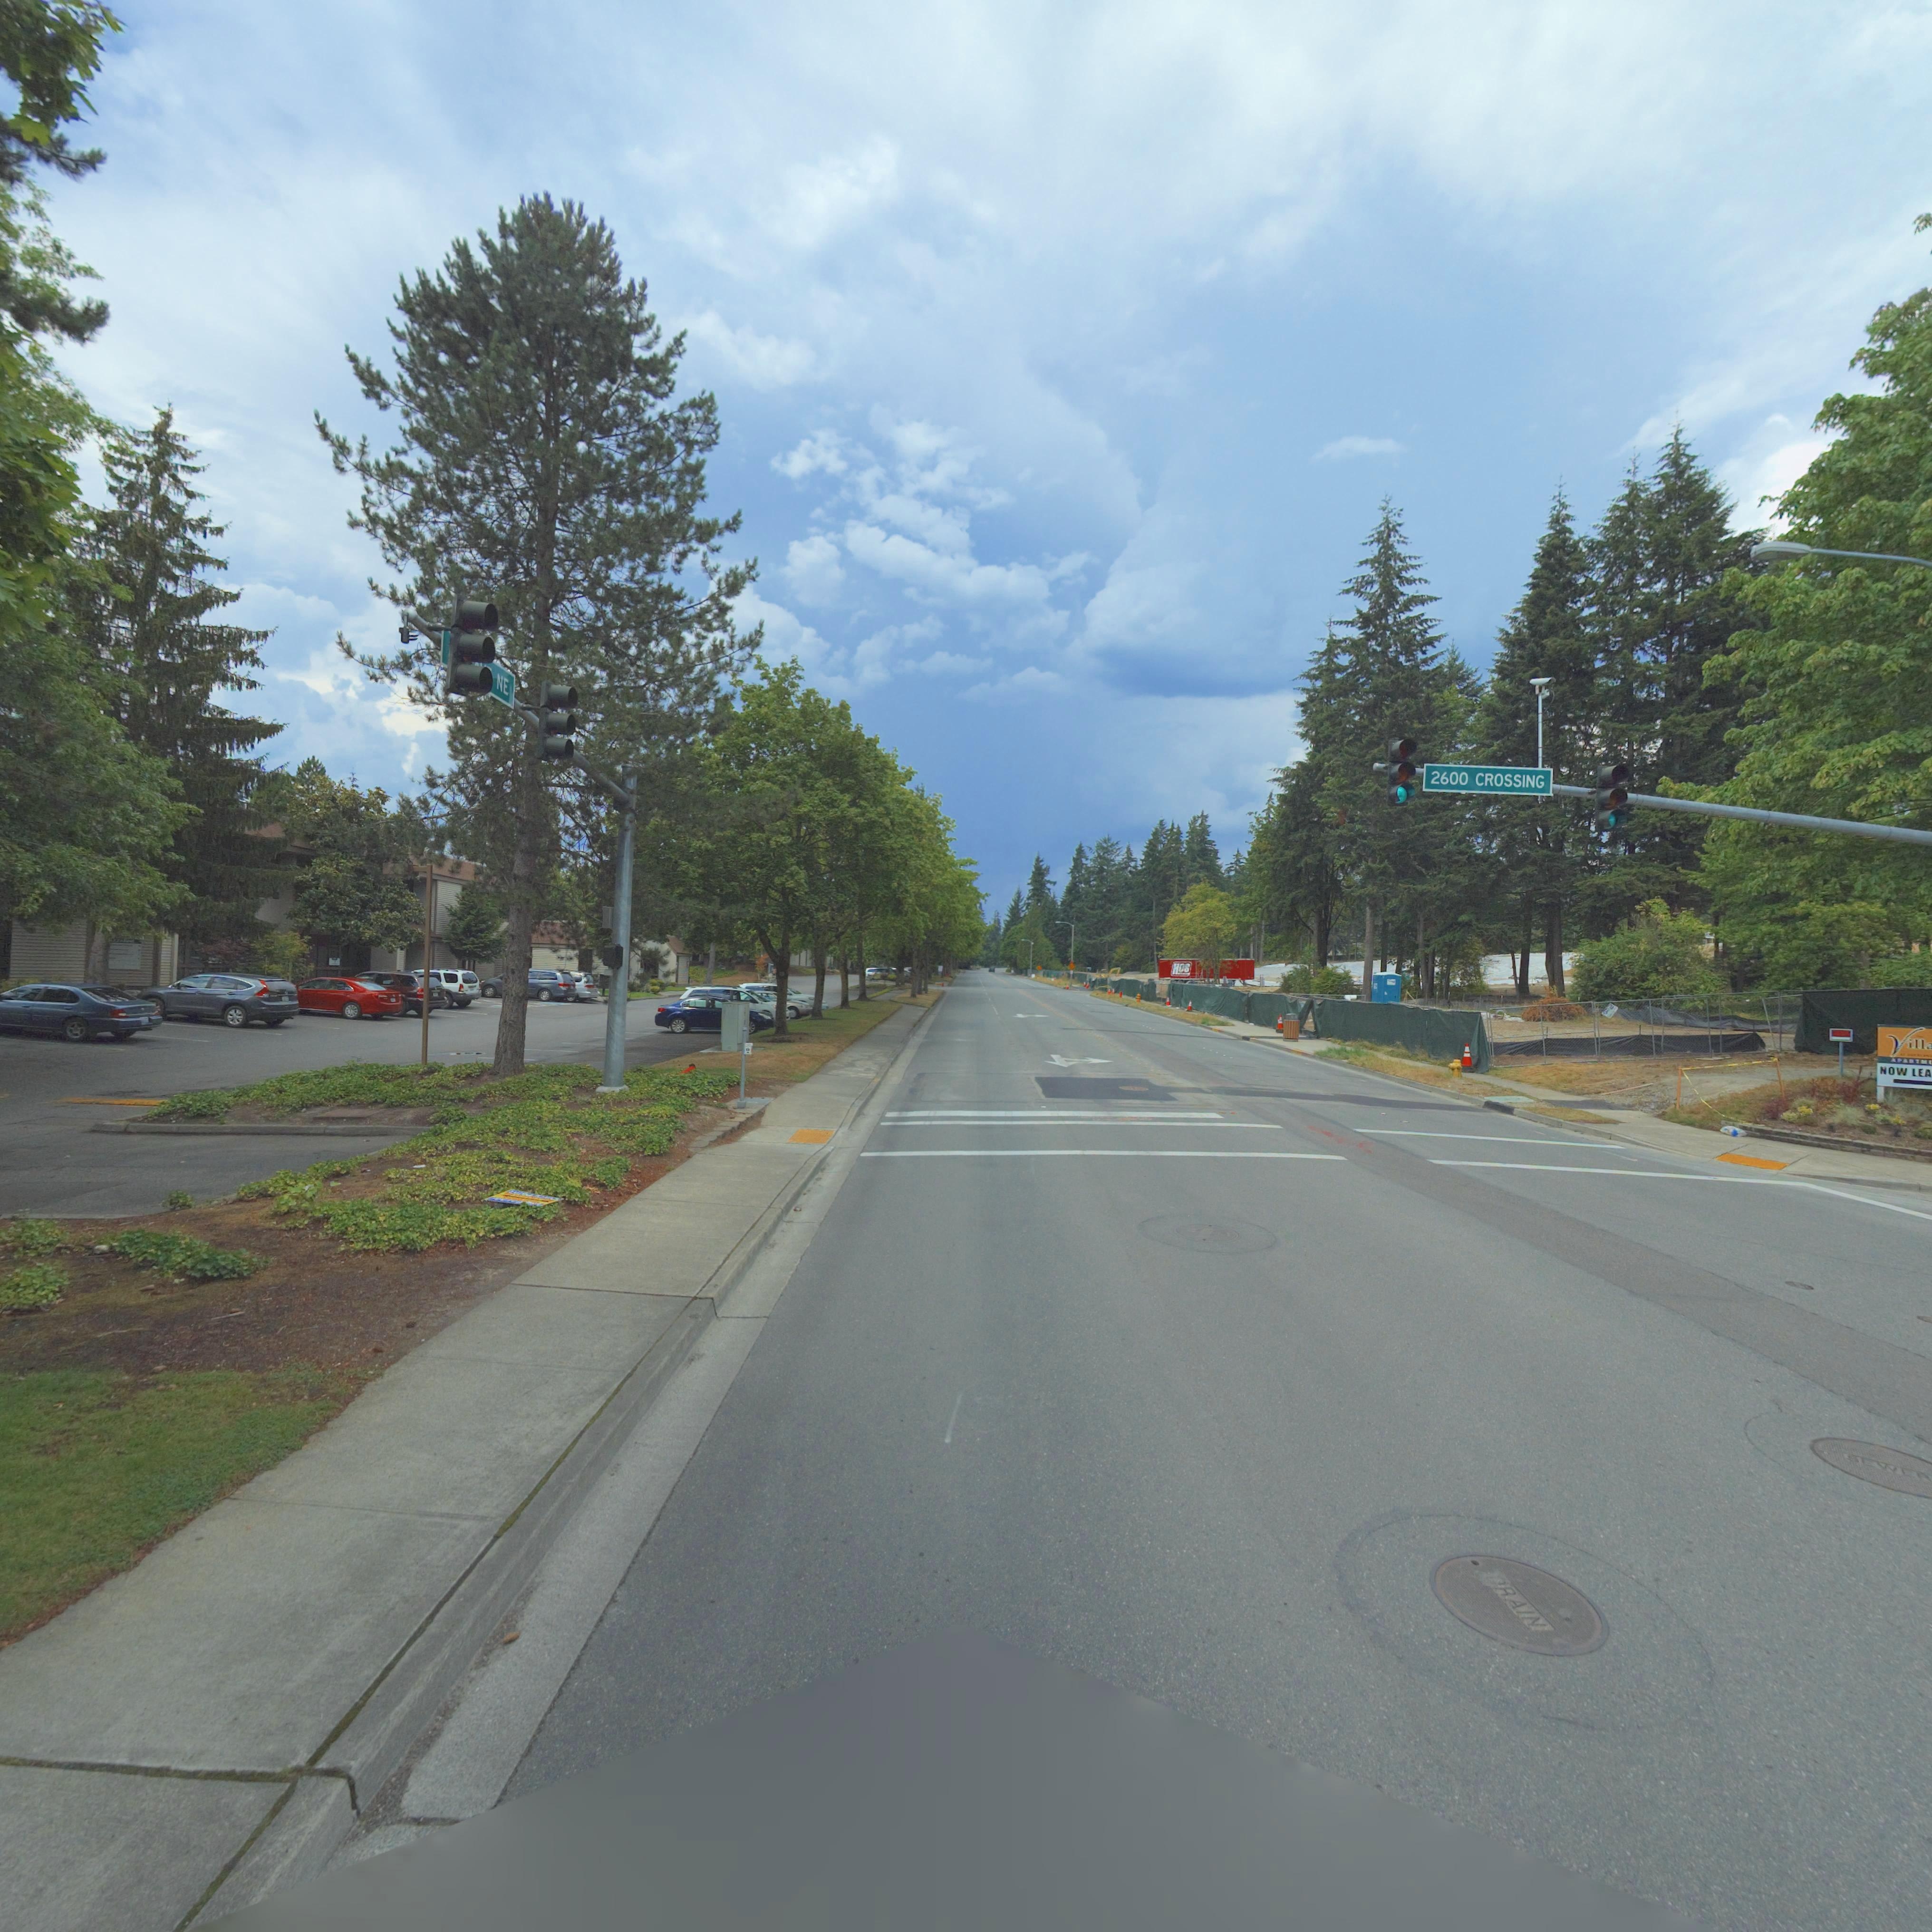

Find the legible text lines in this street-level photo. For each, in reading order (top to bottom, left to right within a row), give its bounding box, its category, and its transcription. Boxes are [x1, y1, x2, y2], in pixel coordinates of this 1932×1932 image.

[495, 671, 510, 697] StreetName: NE
[1429, 769, 1546, 790] StreetName: 2600 CROSSING
[1884, 1025, 1927, 1057] BusinessName: Vill
[1889, 1057, 1928, 1064] BusinessName: APARTM